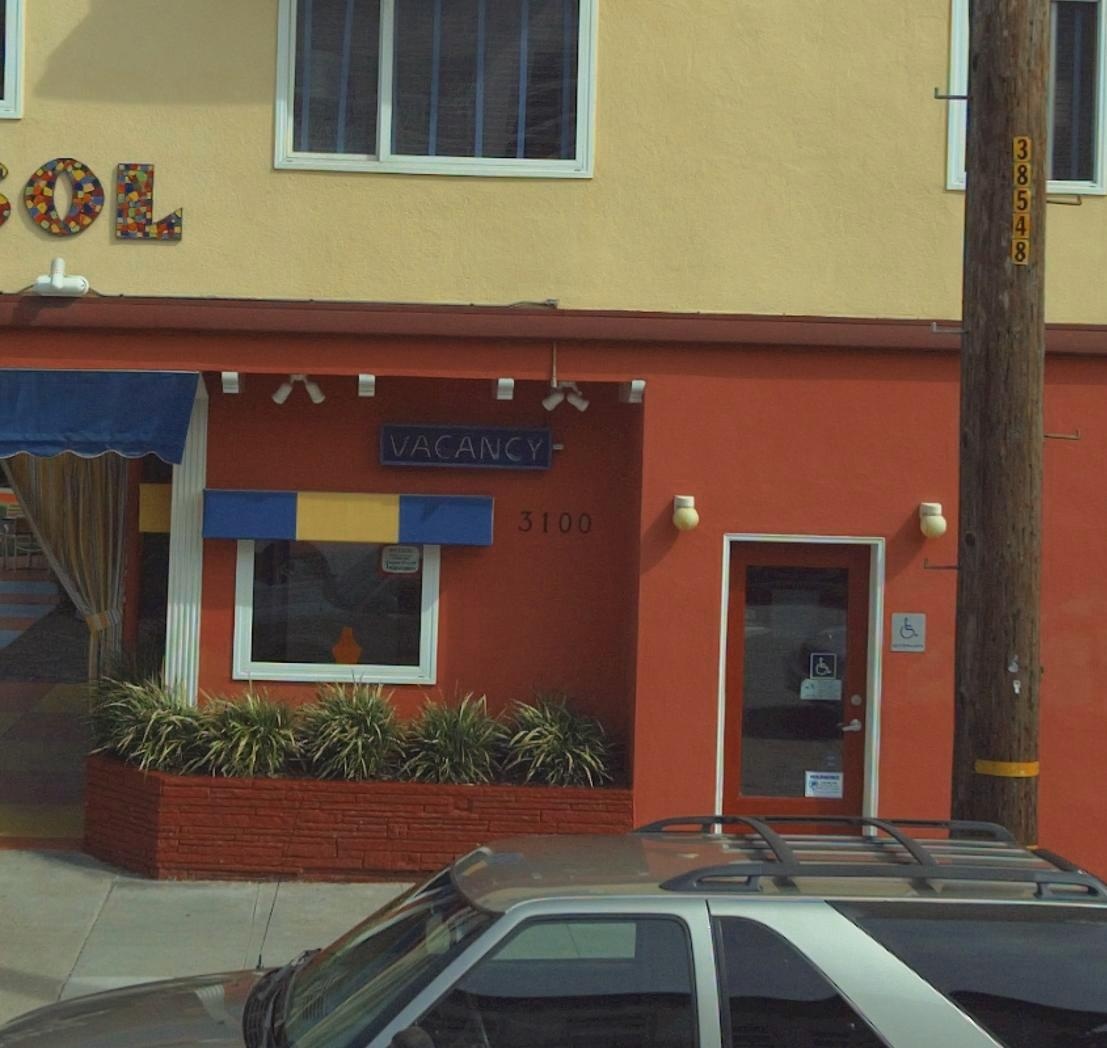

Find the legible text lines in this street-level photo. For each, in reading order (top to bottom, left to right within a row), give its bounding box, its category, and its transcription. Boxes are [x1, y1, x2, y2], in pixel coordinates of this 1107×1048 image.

[20, 156, 186, 243] BusinessName: OL
[1011, 136, 1031, 265] None: 38548
[385, 432, 546, 464] None: VACANCY
[515, 508, 594, 536] StreetNumber: 3100